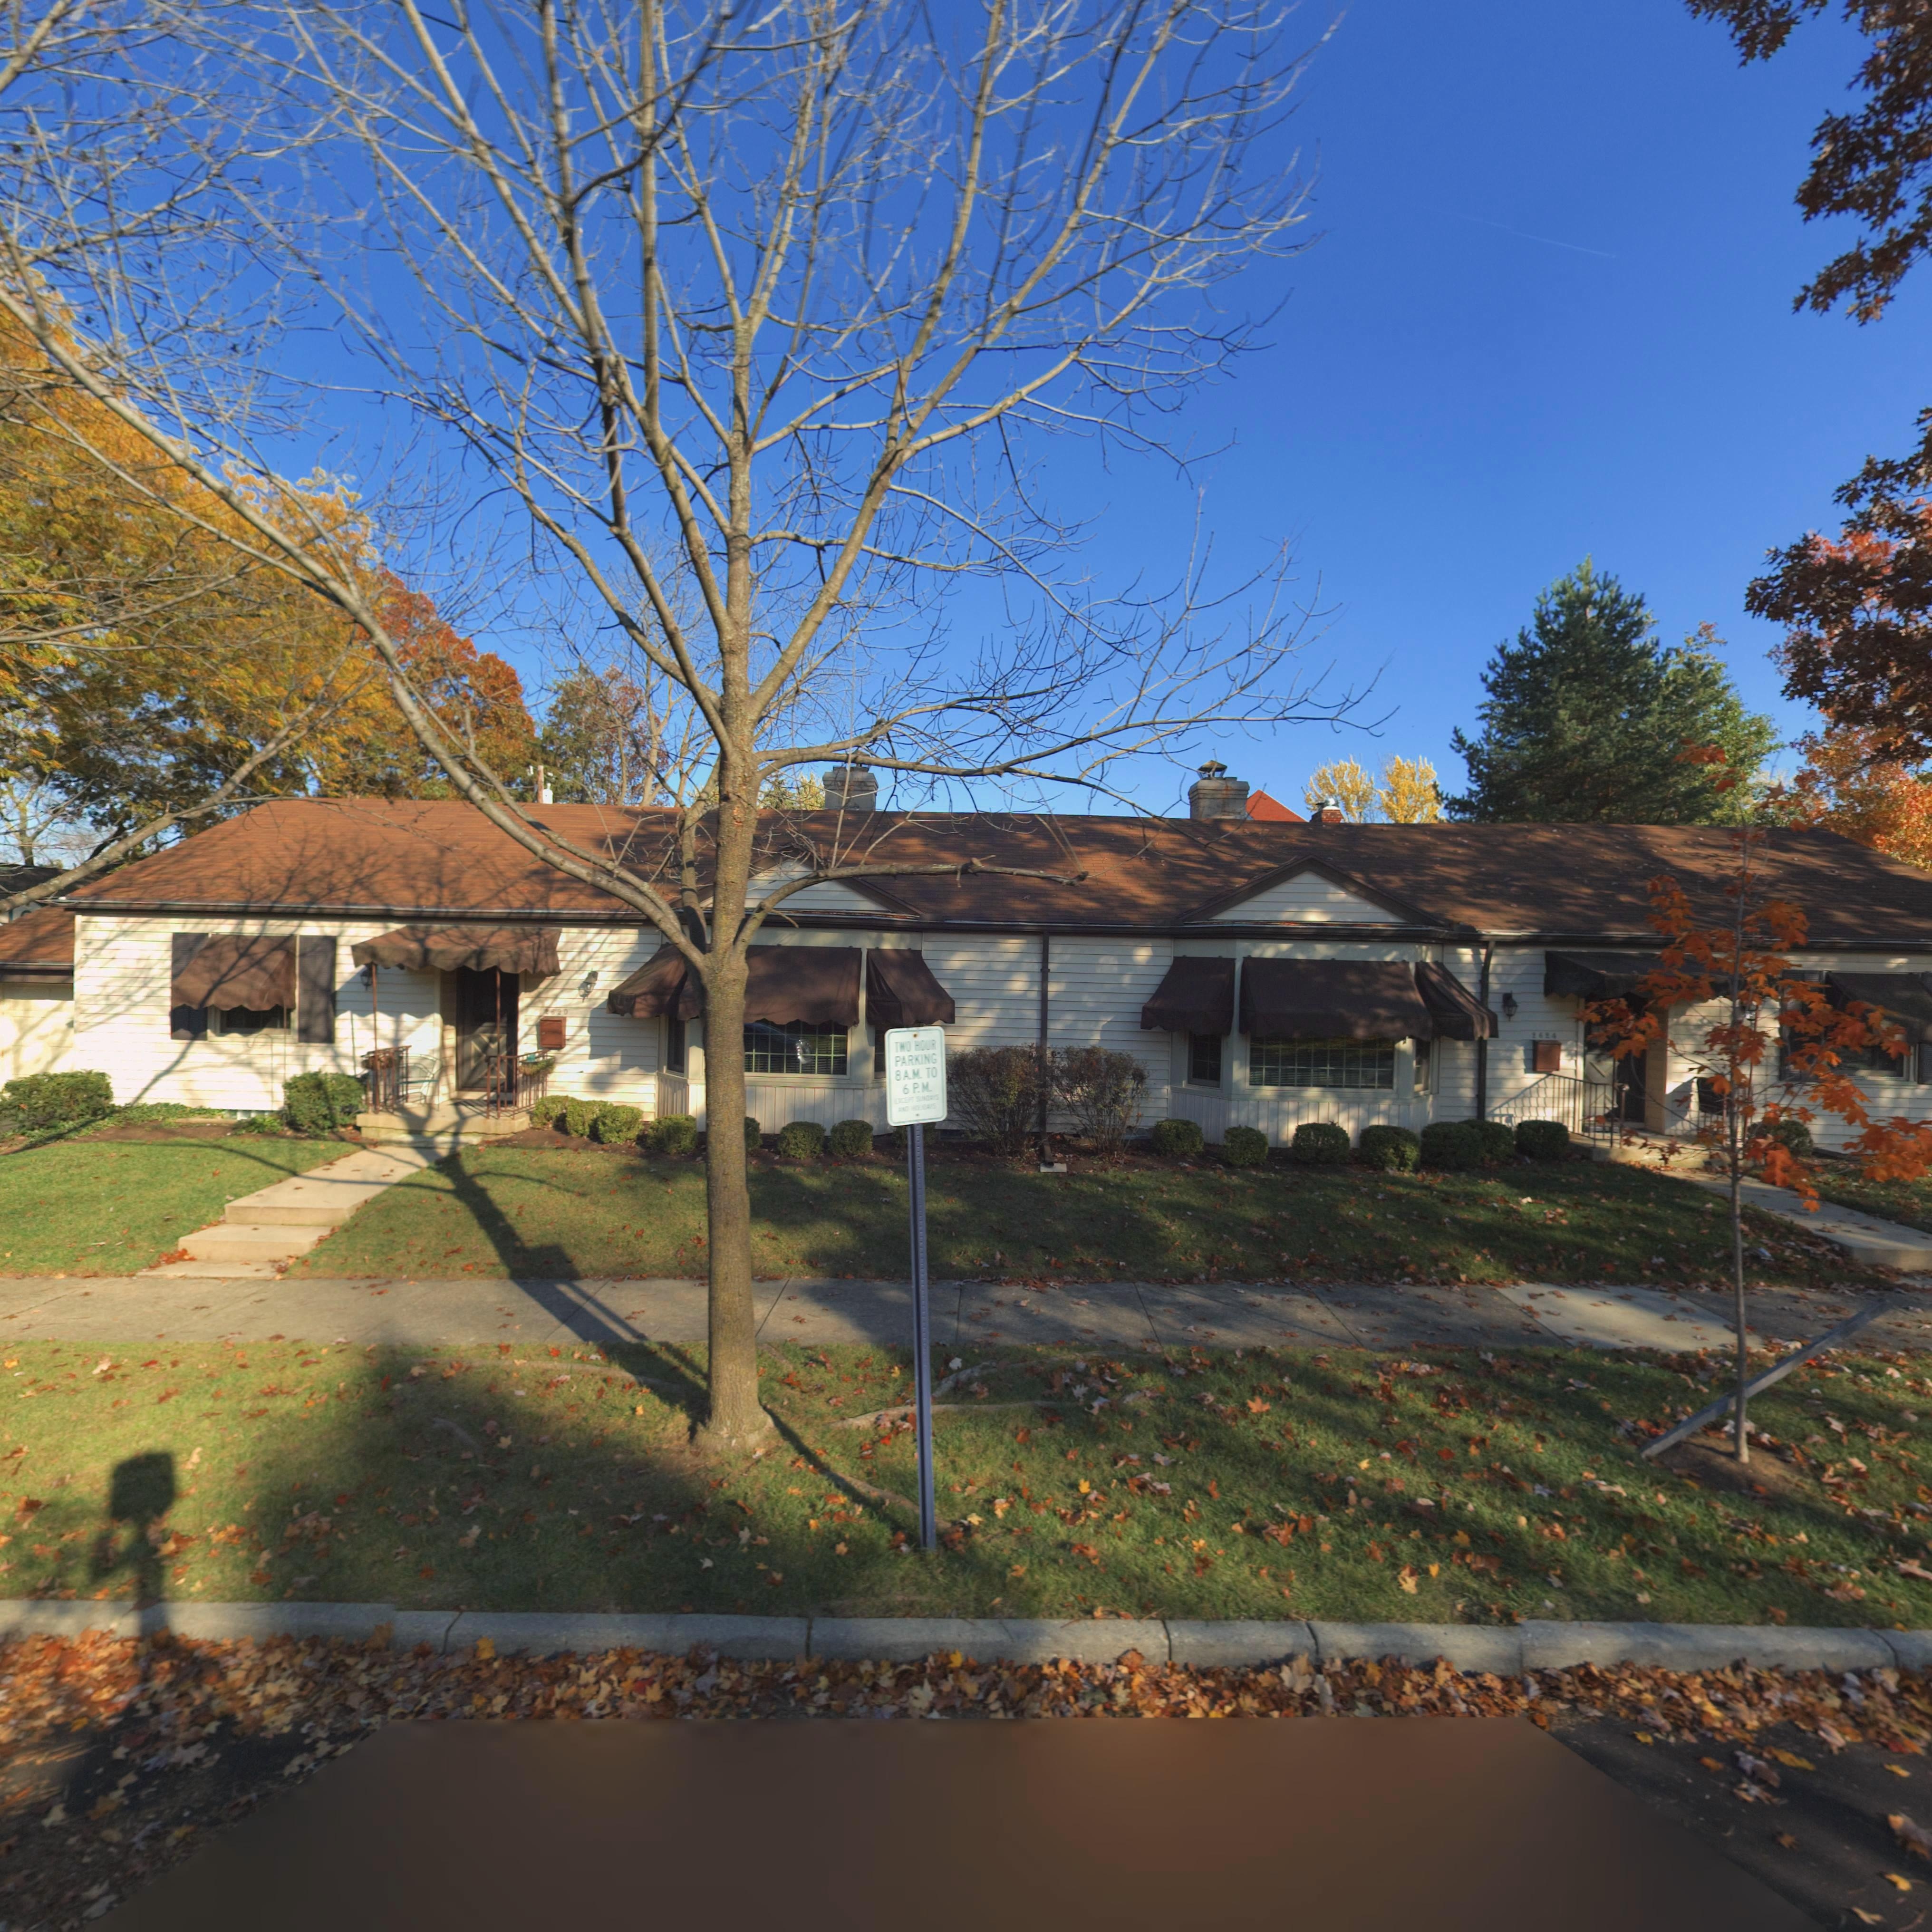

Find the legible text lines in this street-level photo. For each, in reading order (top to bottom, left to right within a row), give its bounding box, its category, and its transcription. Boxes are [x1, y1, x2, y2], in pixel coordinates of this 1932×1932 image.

[543, 1007, 569, 1016] StreetNumber: *620
[1530, 1031, 1558, 1041] StreetNumber: 2624
[891, 1037, 939, 1055] None: TWO HOUR
[893, 1051, 938, 1069] None: PARKING
[893, 1065, 939, 1082] None: 8 A.M. TO
[900, 1080, 934, 1096] None: 6 P.M.